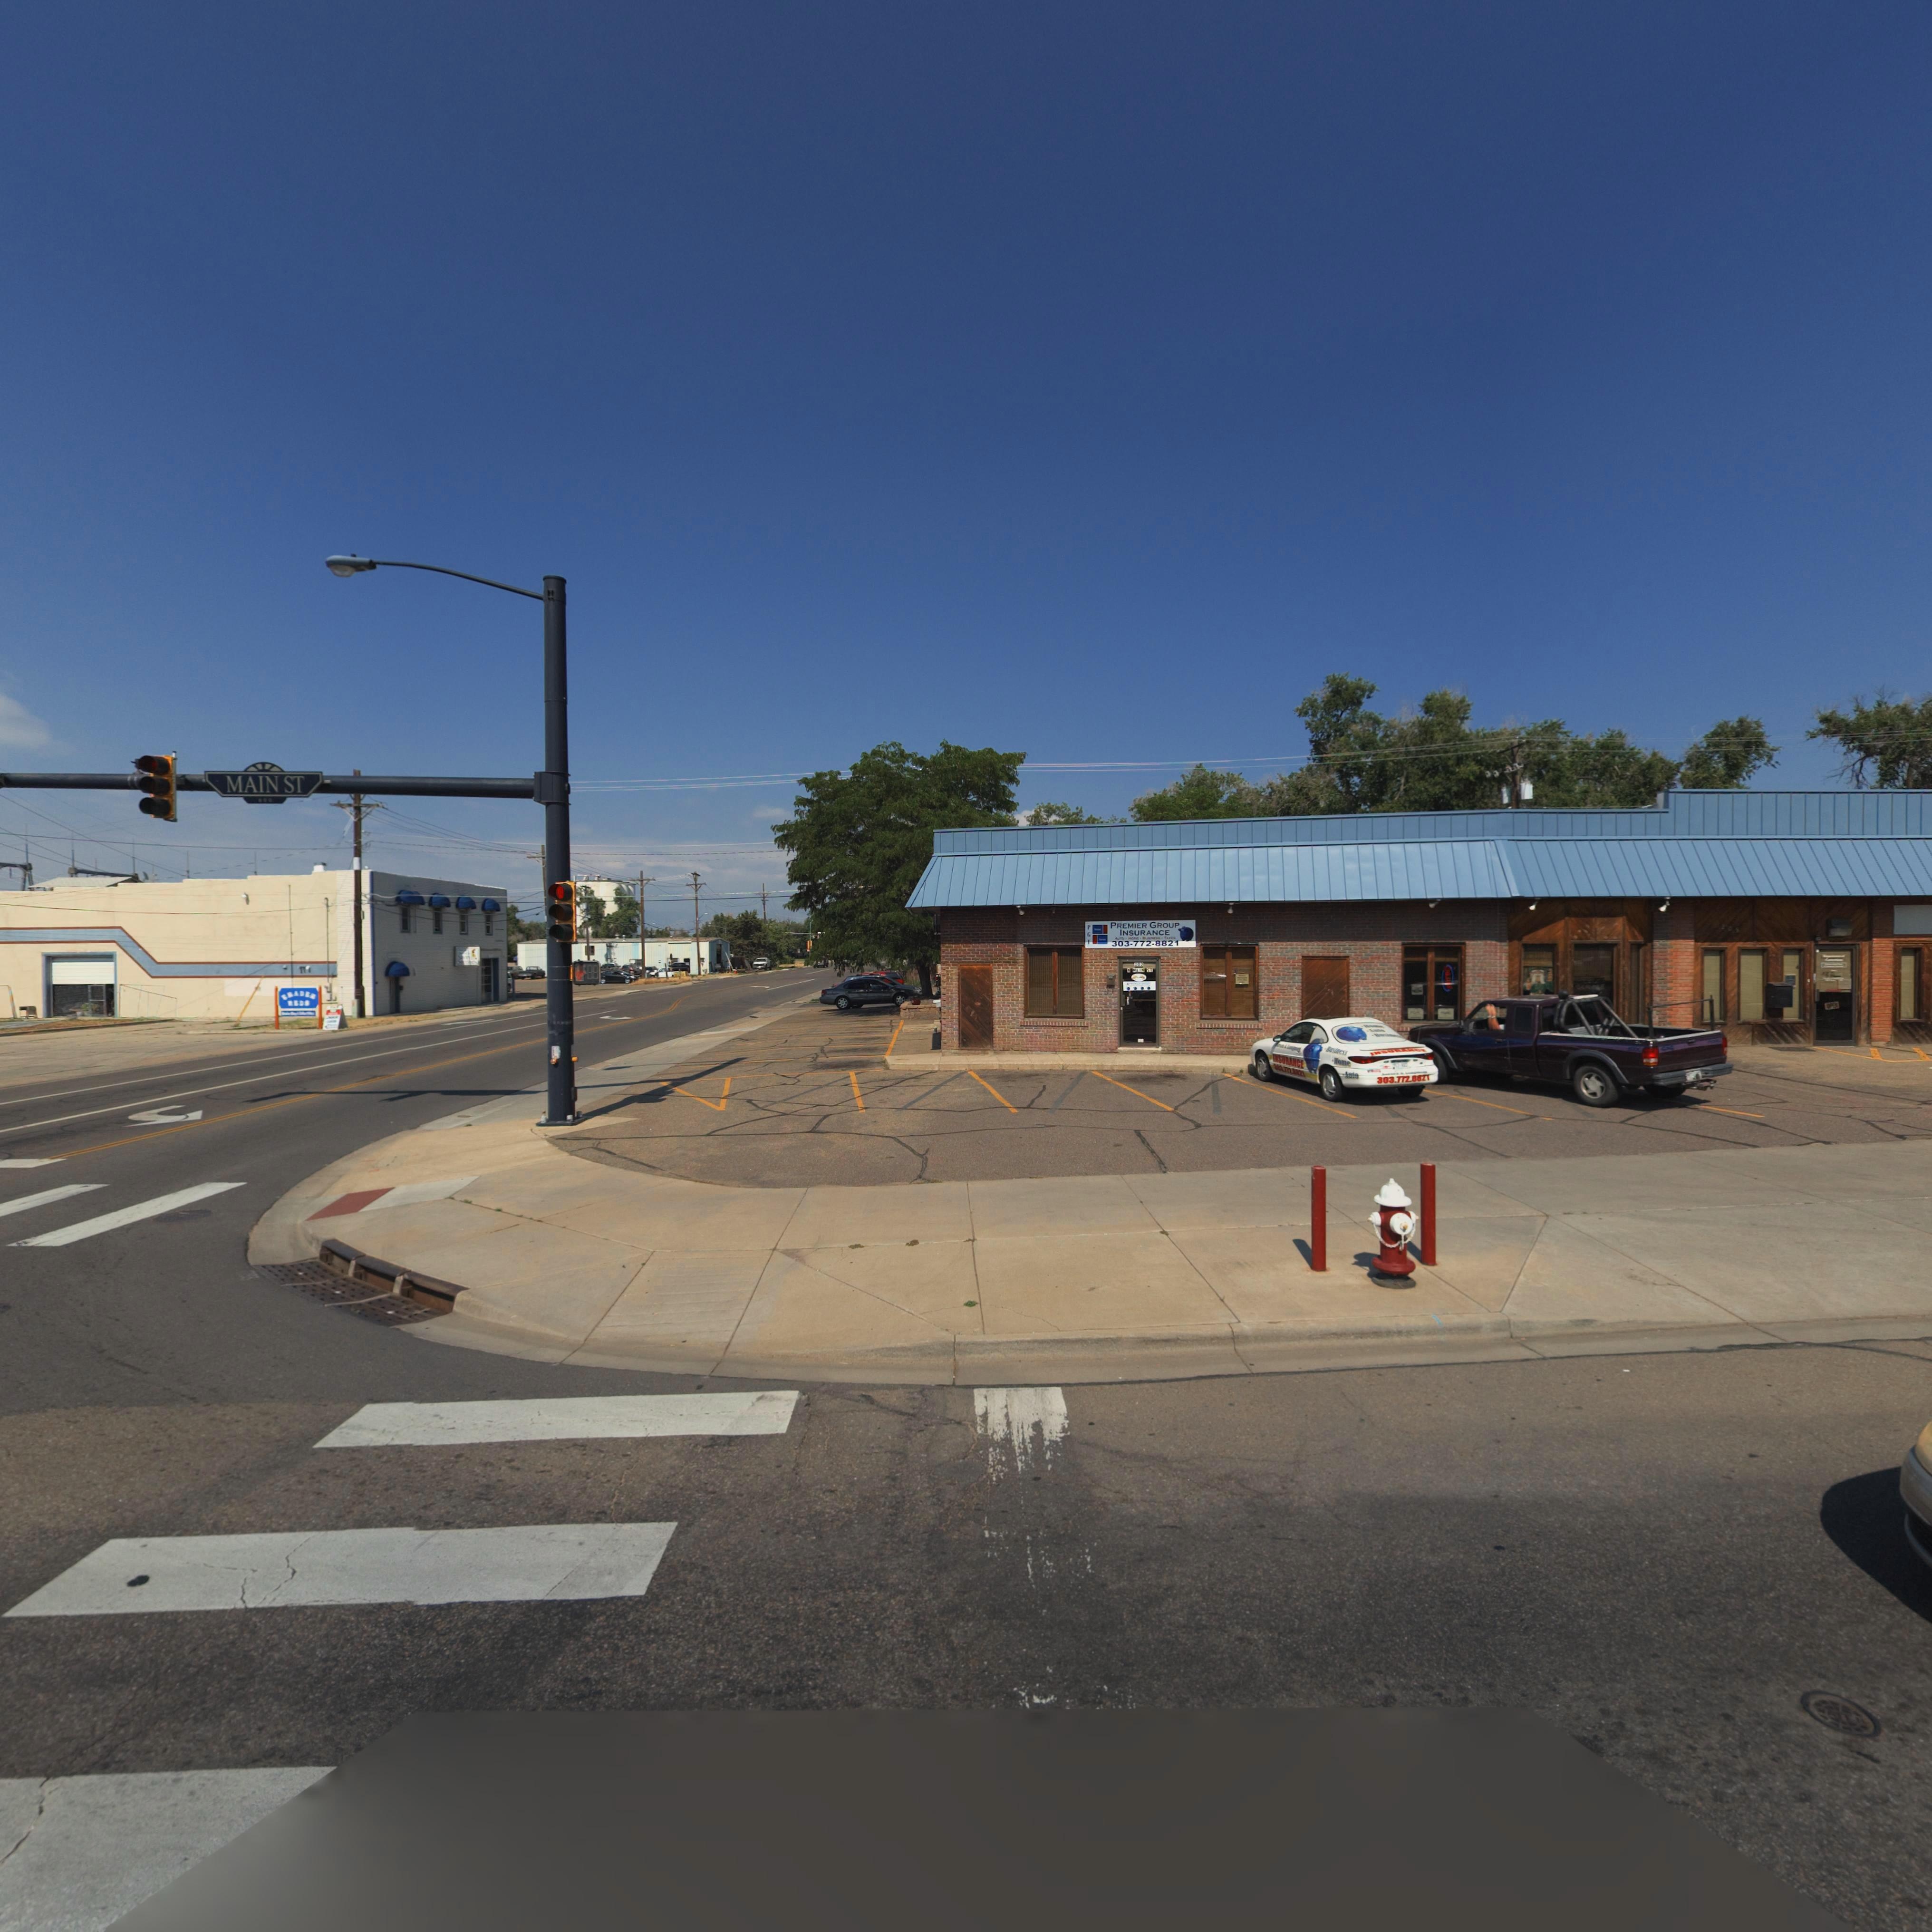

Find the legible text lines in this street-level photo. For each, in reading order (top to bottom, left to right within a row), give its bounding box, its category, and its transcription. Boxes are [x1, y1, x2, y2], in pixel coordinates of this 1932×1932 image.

[225, 774, 306, 793] StreetName: MAIN ST
[1110, 921, 1180, 929] BusinessName: PREMIER GROUP
[1720, 923, 1739, 933] StreetNumber: 205
[1120, 929, 1170, 936] BusinessName: INSURANCE
[1135, 962, 1142, 966] StreetNumber: 20*
[1132, 968, 1153, 972] StreetName: *AIN ST
[280, 990, 316, 1000] BusinessName: **ADE*
[287, 1000, 310, 1006] BusinessName: **D*